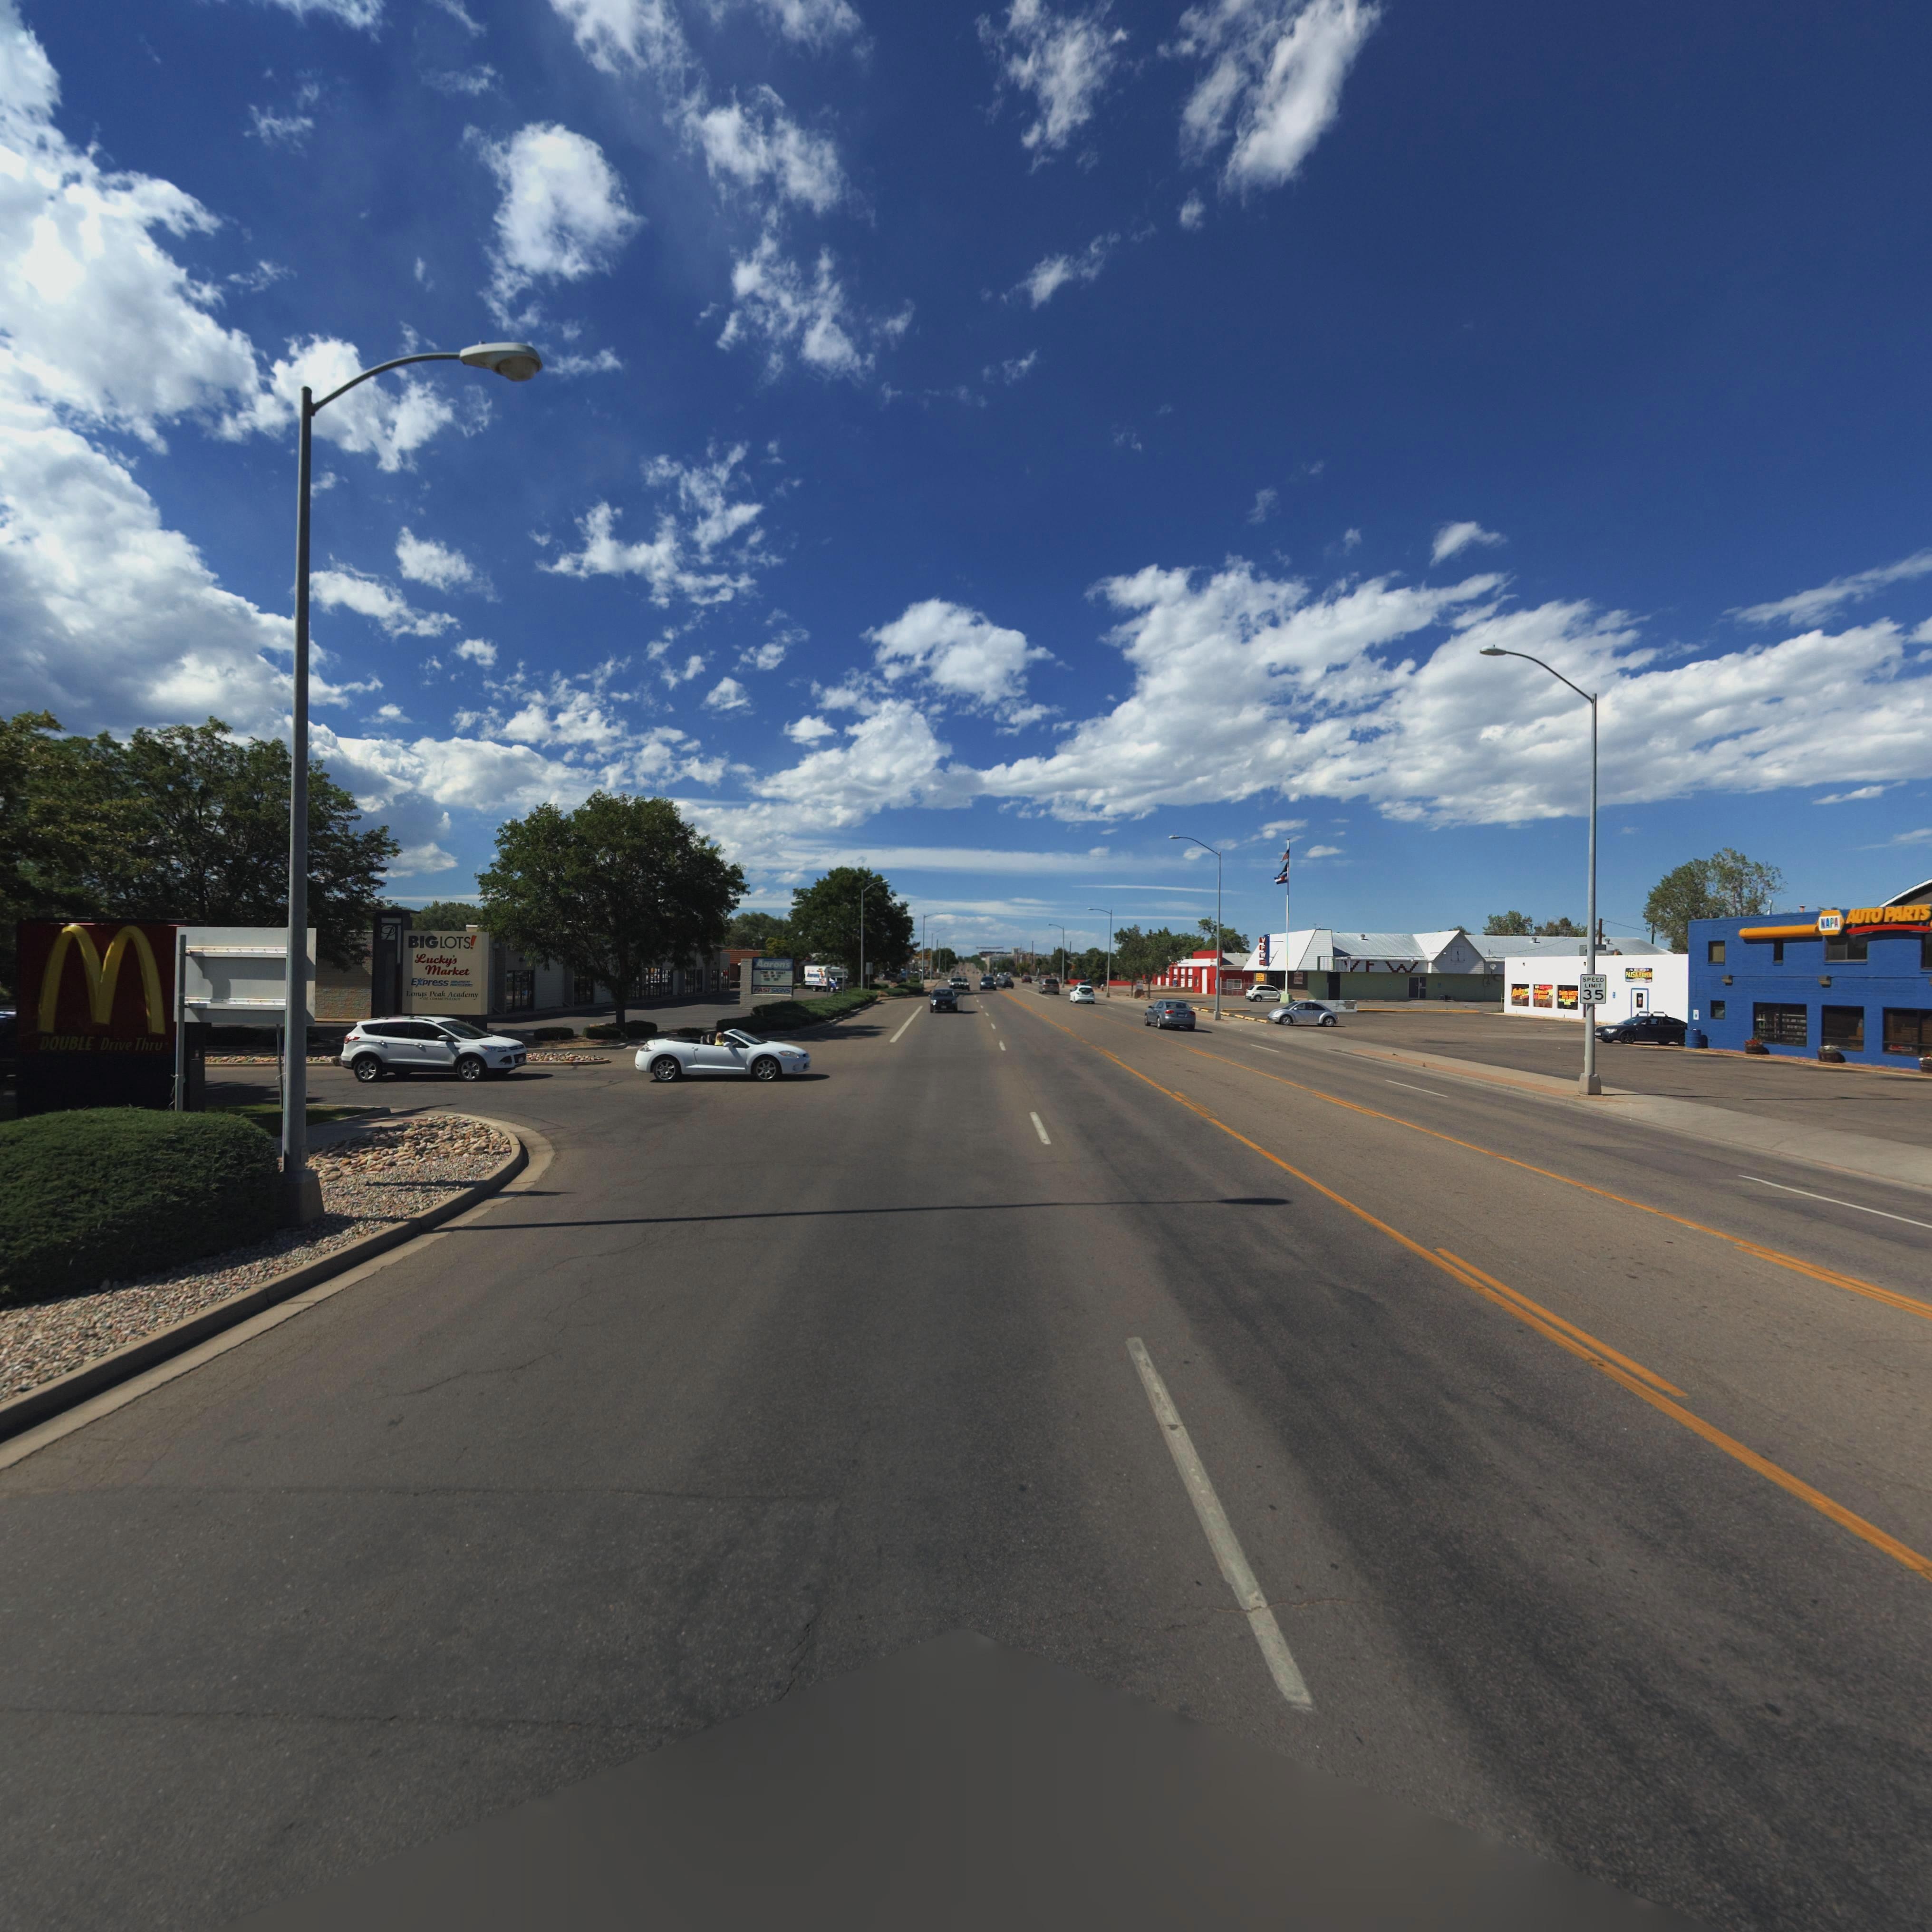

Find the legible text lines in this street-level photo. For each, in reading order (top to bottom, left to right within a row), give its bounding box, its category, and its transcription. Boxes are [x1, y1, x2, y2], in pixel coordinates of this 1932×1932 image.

[1845, 903, 1932, 924] BusinessName: AUTO PARTS
[1820, 917, 1839, 929] BusinessName: NAPA
[407, 934, 471, 949] BusinessName: BIGLOTS
[1260, 937, 1266, 958] BusinessName: VFW
[414, 952, 457, 967] BusinessName: Lucky's
[424, 964, 470, 976] BusinessName: Market
[754, 959, 790, 969] BusinessName: Aaron's
[1340, 958, 1421, 974] BusinessName: VFW
[1624, 971, 1652, 977] BusinessName: PAISA ***N
[1628, 968, 1650, 971] BusinessName: AU*O
[410, 977, 449, 988] BusinessName: EXpress
[406, 990, 479, 1001] BusinessName: Longs Peak Academy
[753, 987, 791, 993] BusinessName: FASTSIGNS